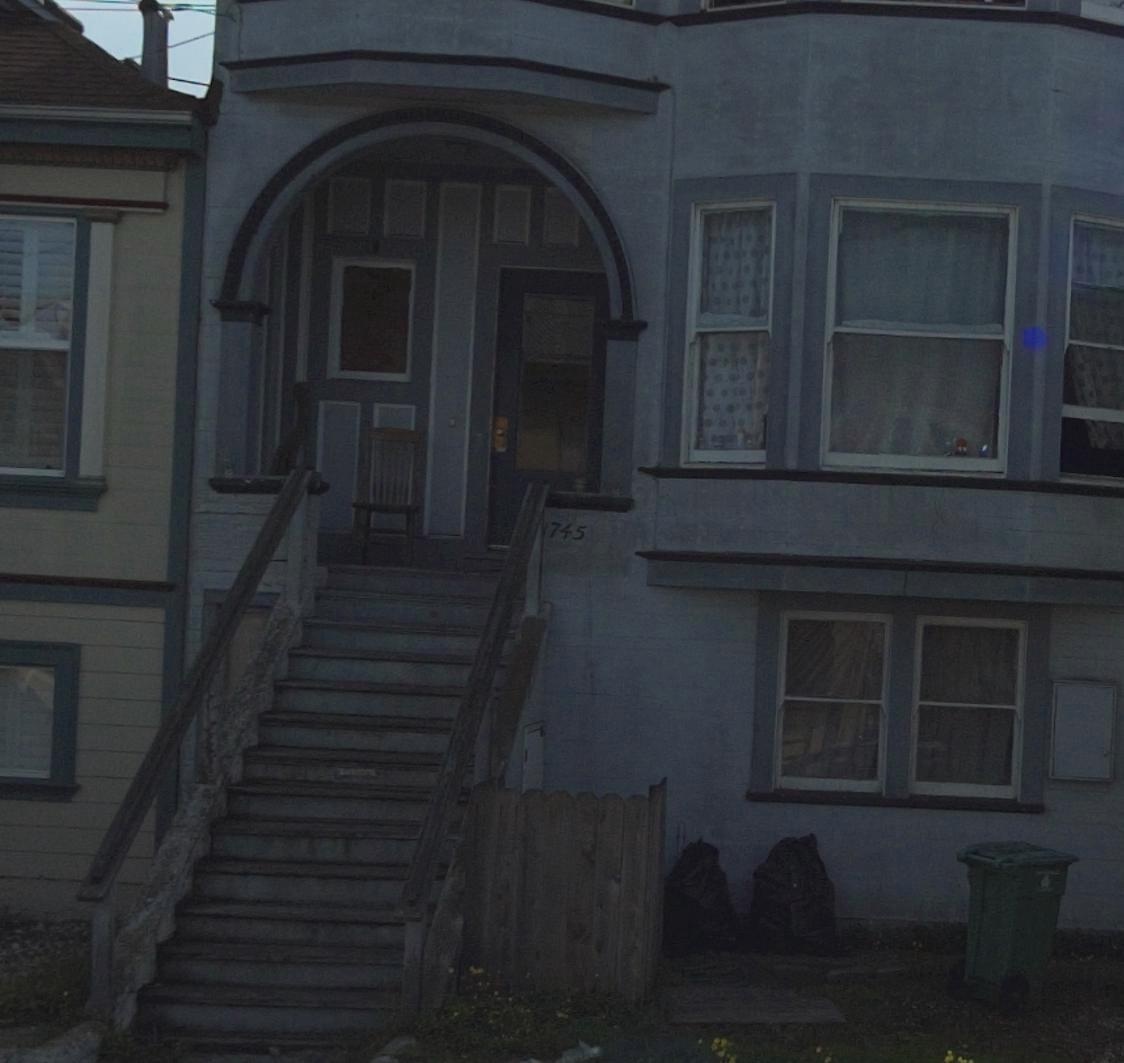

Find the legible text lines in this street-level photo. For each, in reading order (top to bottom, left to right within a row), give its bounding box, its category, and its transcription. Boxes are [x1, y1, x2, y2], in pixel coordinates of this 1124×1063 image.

[540, 520, 589, 541] StreetNumber: 1745